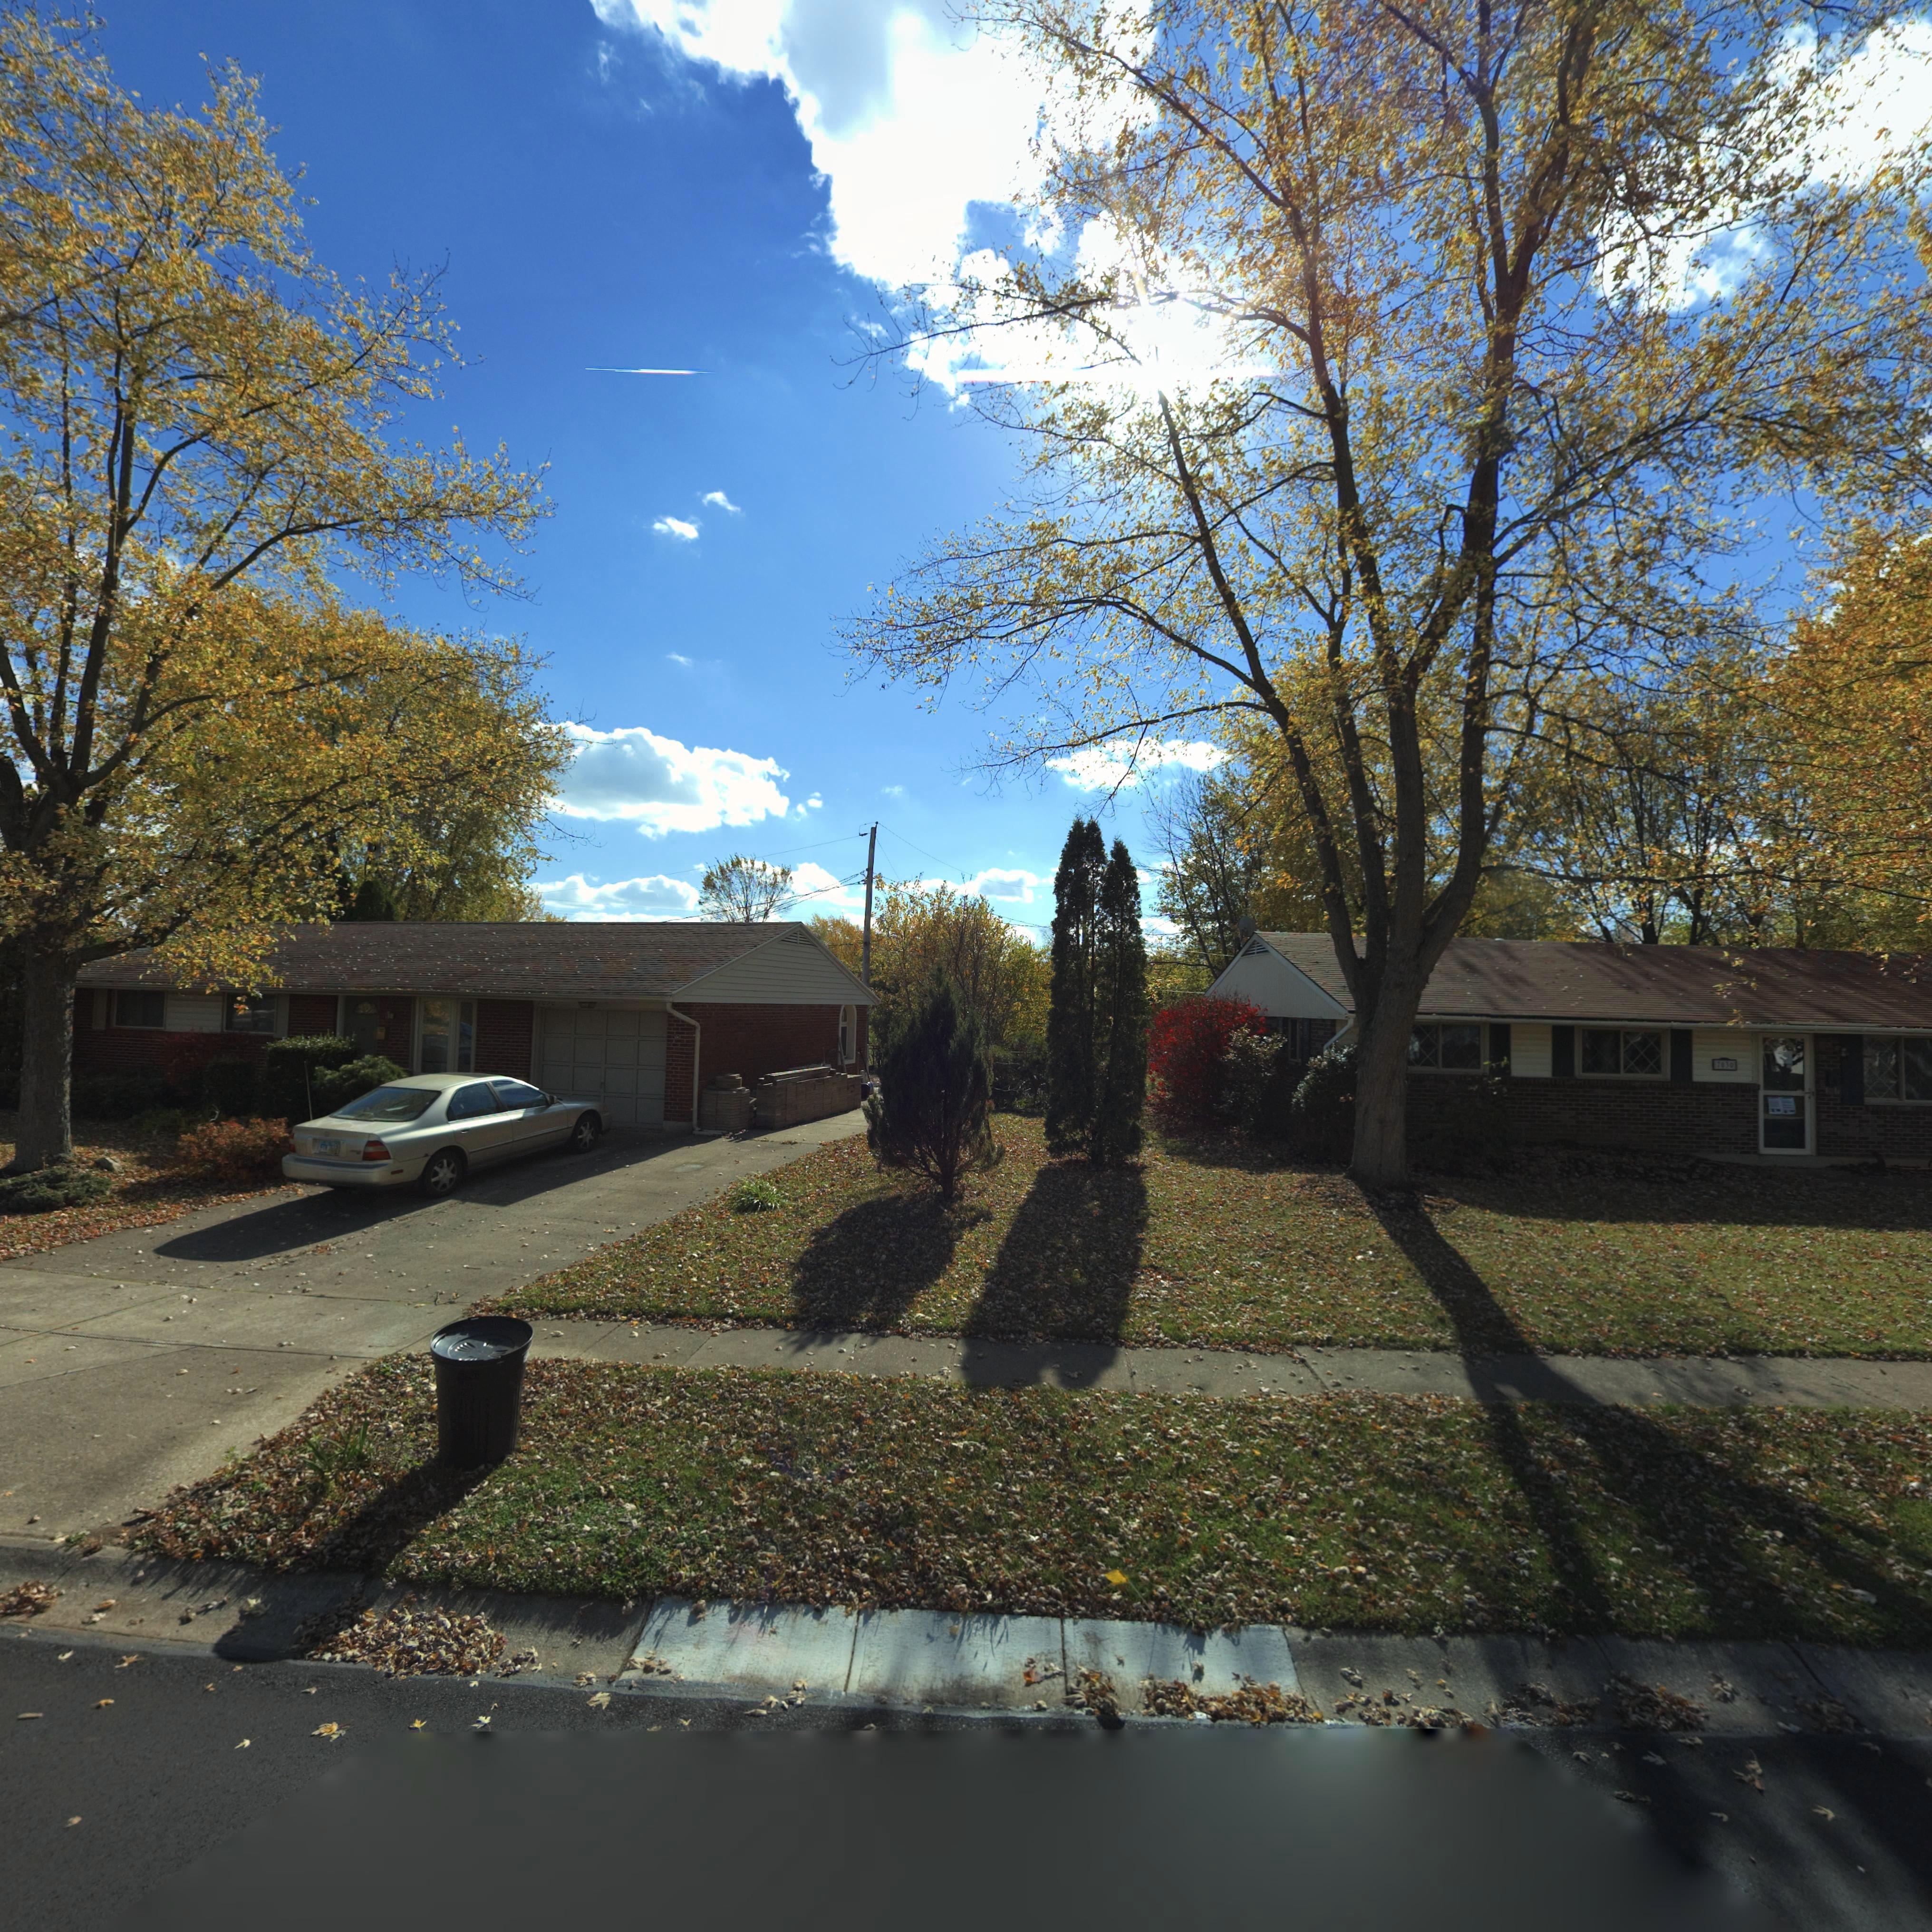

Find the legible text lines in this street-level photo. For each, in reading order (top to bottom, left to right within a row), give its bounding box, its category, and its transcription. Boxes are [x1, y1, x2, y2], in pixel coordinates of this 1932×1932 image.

[1715, 1060, 1735, 1070] StreetNumber: 7030